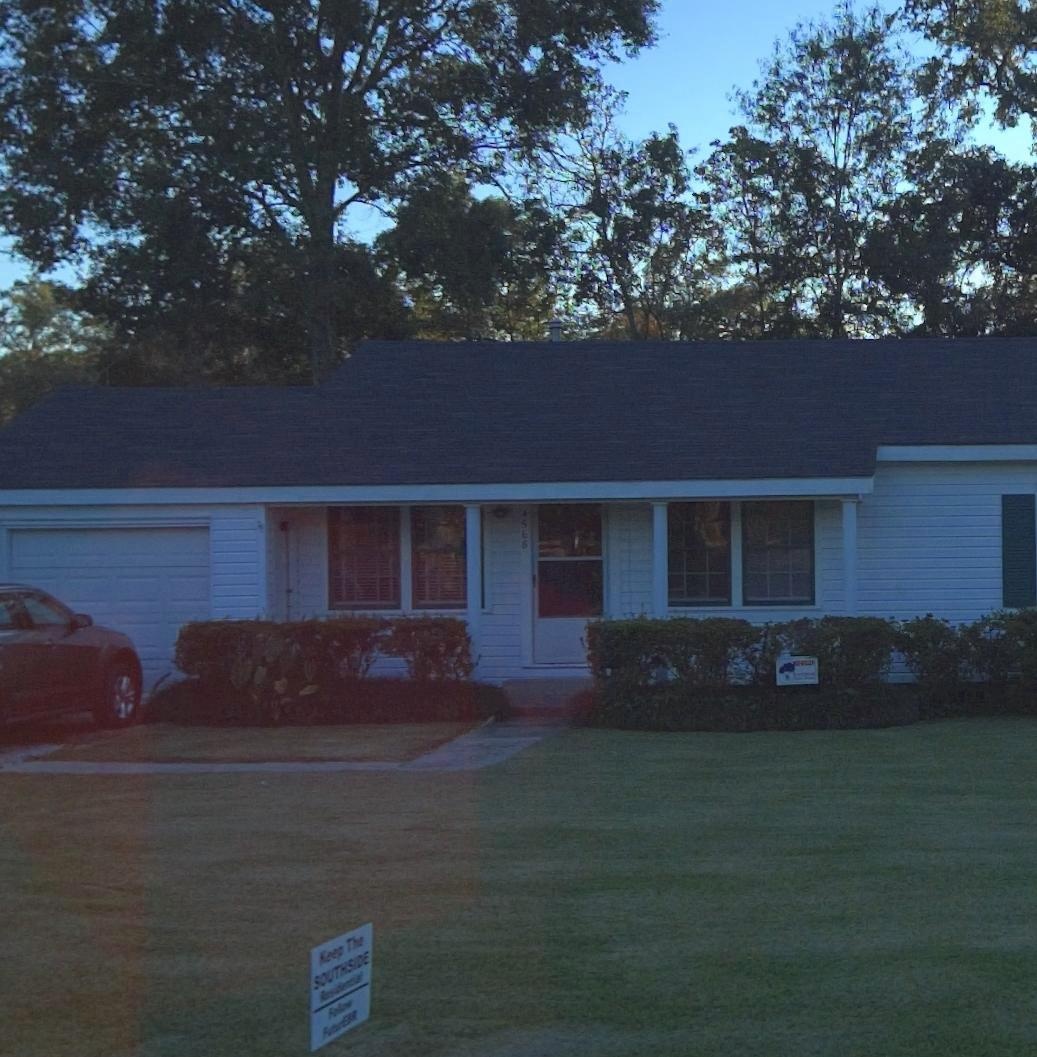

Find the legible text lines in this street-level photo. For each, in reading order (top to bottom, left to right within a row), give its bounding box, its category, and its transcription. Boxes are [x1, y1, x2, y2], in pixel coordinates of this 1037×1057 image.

[519, 507, 530, 551] StreetNumber: *568
[316, 926, 366, 972] None: Keep The
[311, 944, 372, 994] None: SOUTHSIDE